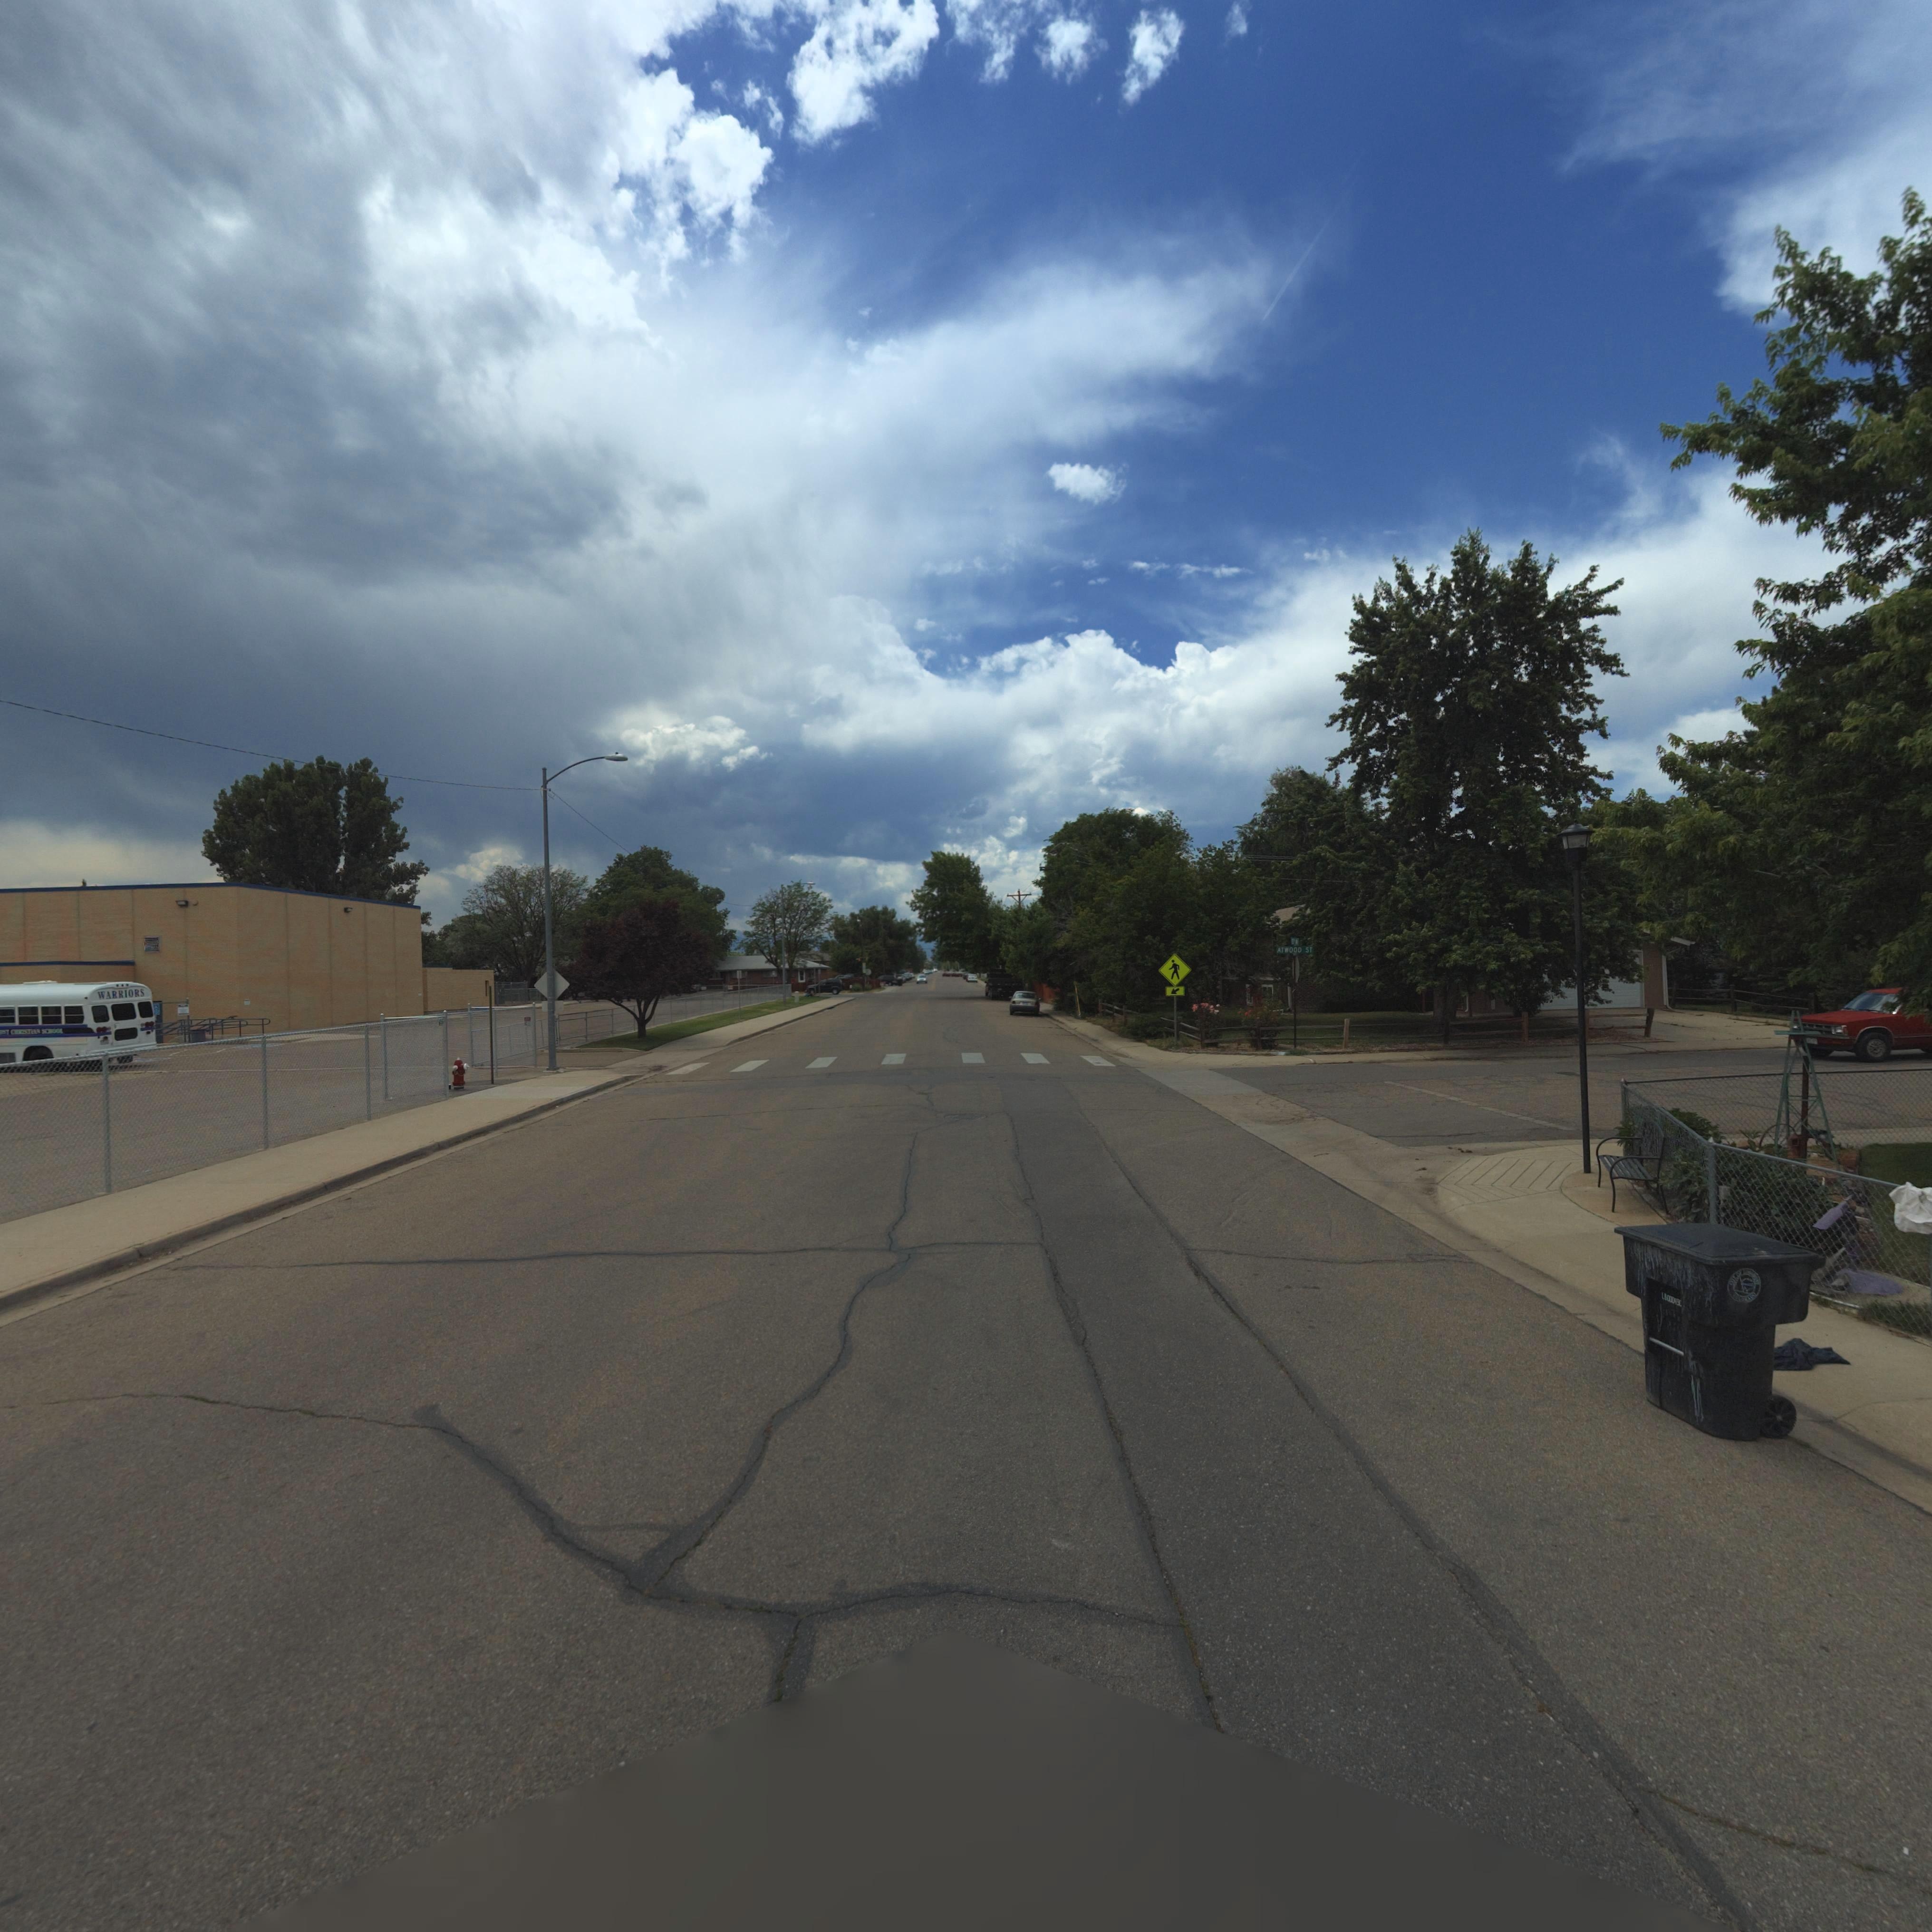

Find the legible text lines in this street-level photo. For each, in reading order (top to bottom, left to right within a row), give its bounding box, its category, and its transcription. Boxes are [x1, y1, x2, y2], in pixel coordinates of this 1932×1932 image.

[1276, 947, 1313, 953] StreetName: ATWOOD ST